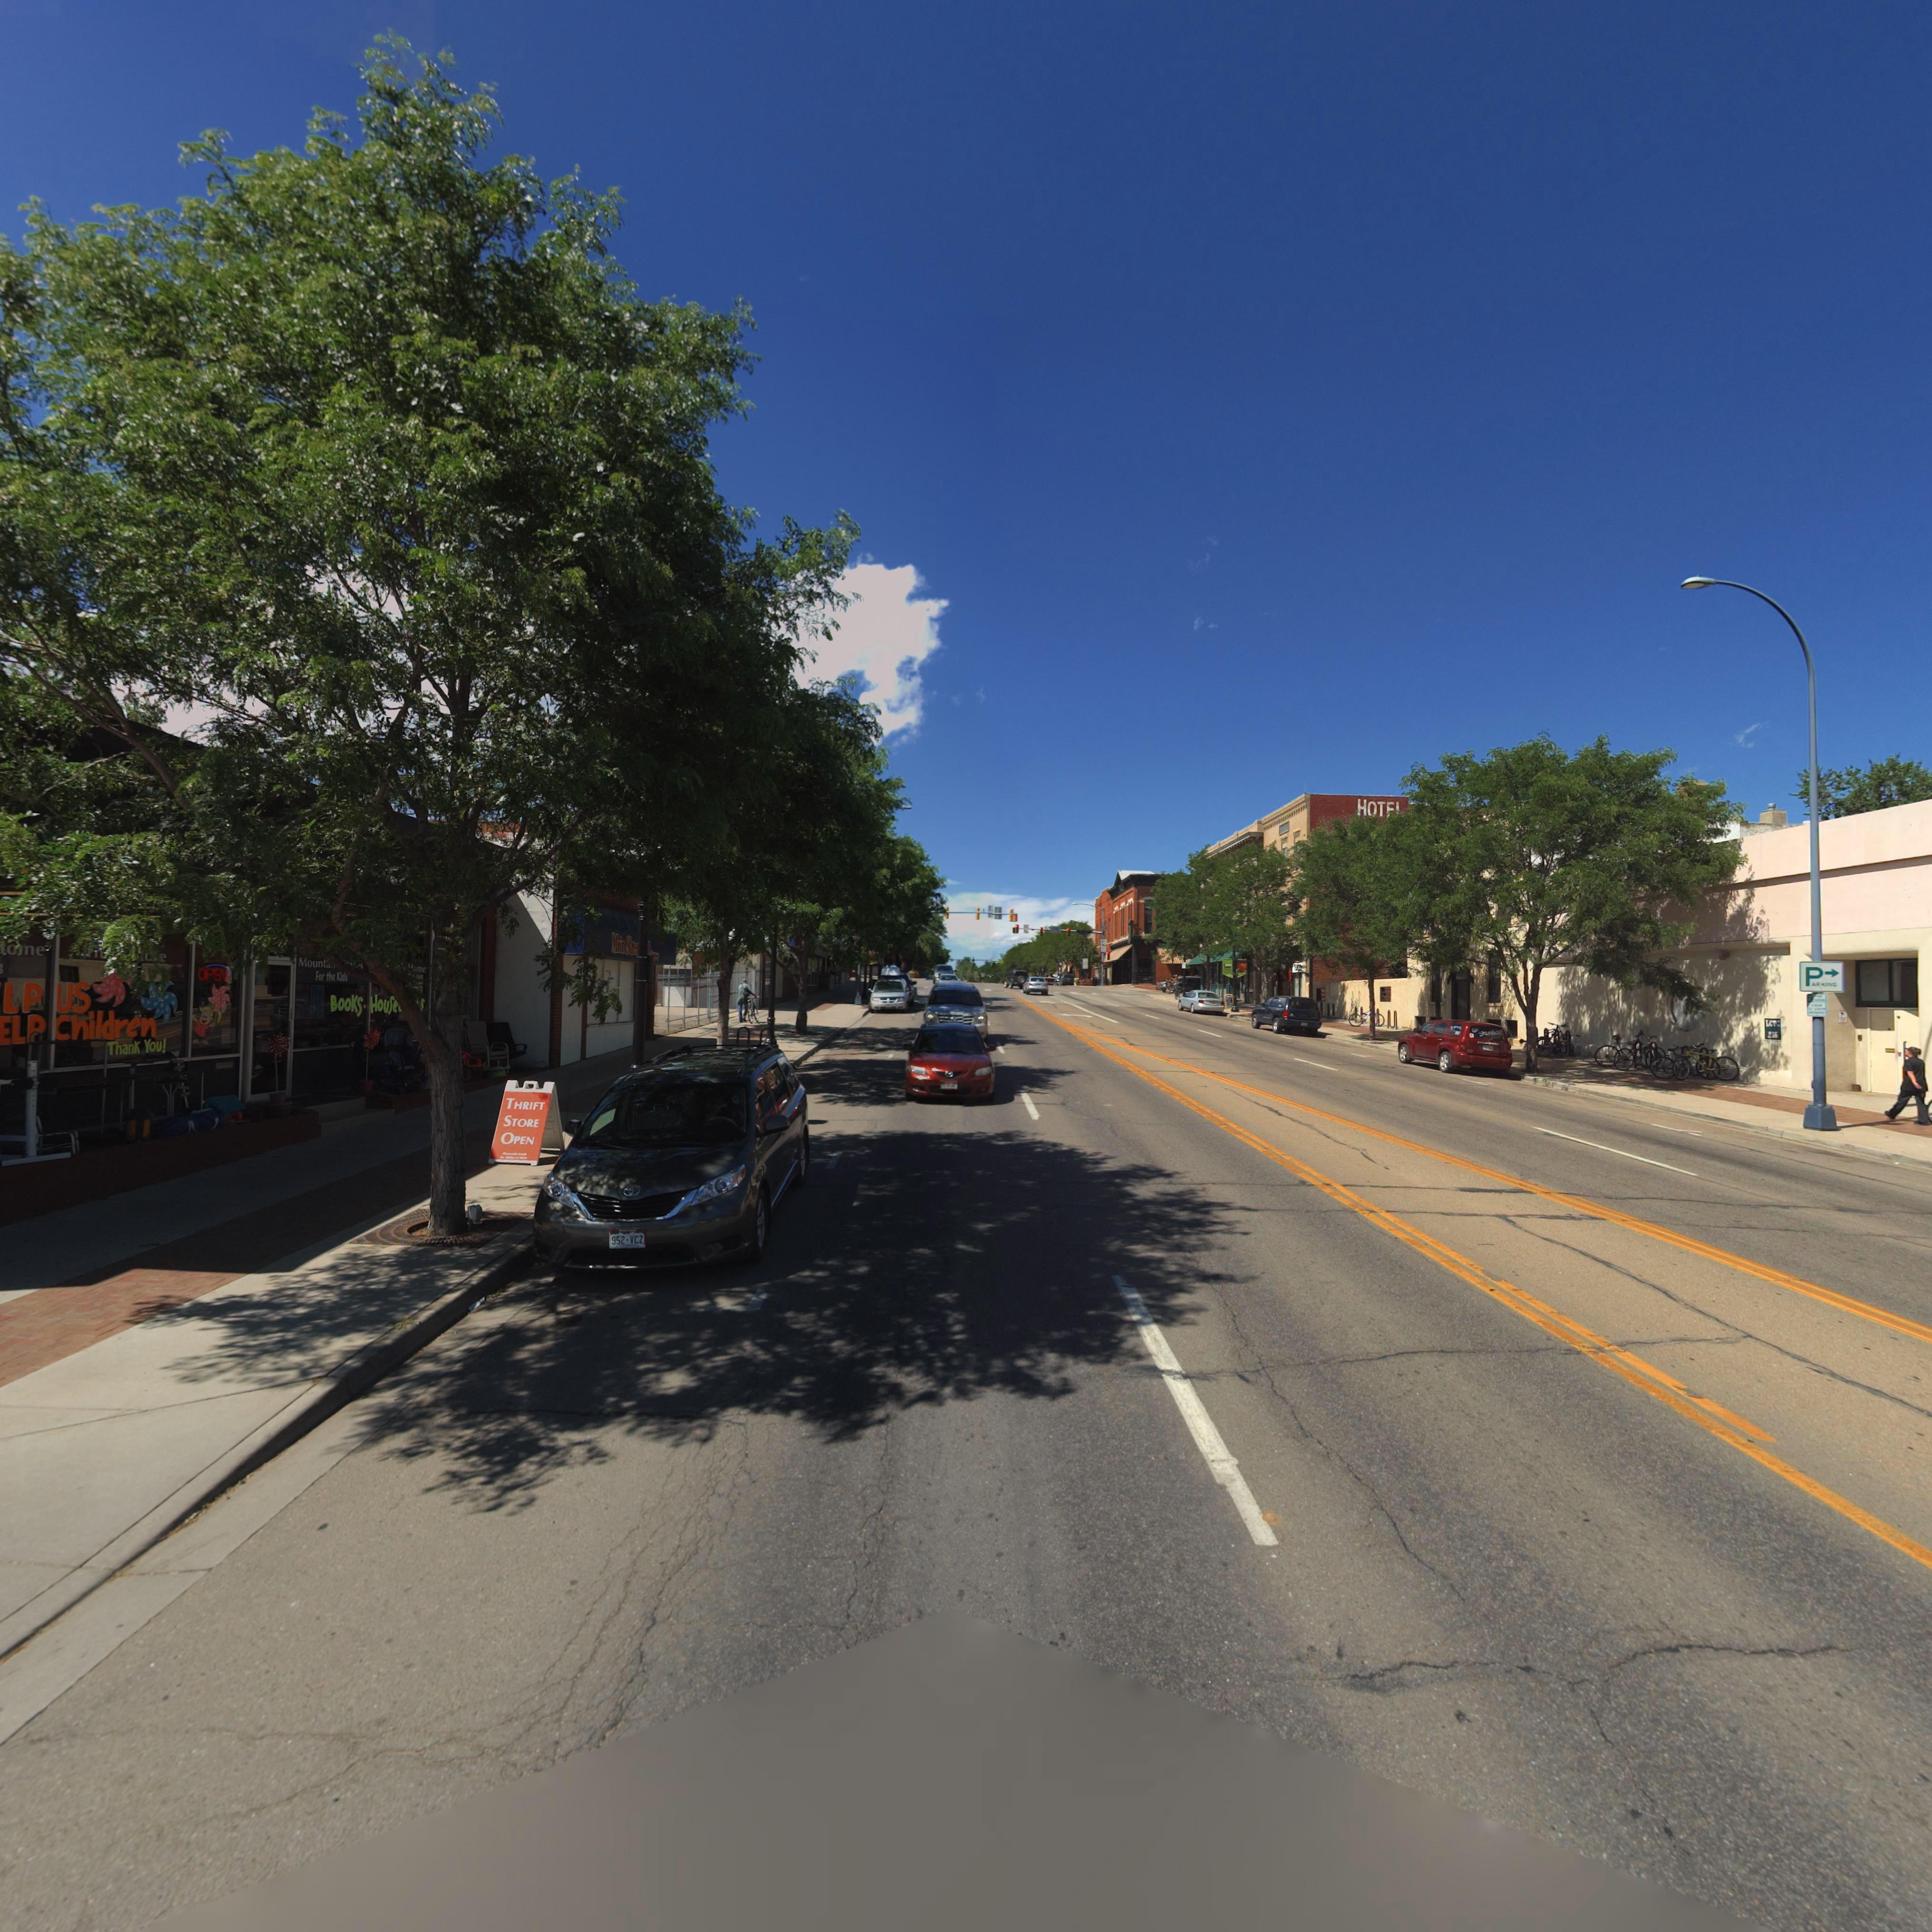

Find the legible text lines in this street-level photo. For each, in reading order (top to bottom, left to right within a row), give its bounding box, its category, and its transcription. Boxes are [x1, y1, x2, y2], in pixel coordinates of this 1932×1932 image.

[610, 932, 638, 956] BusinessName: Main Stre
[297, 956, 426, 973] BusinessName: Mount*** *****s ********** **me
[1767, 1031, 1777, 1038] StreetNumber: 2*6